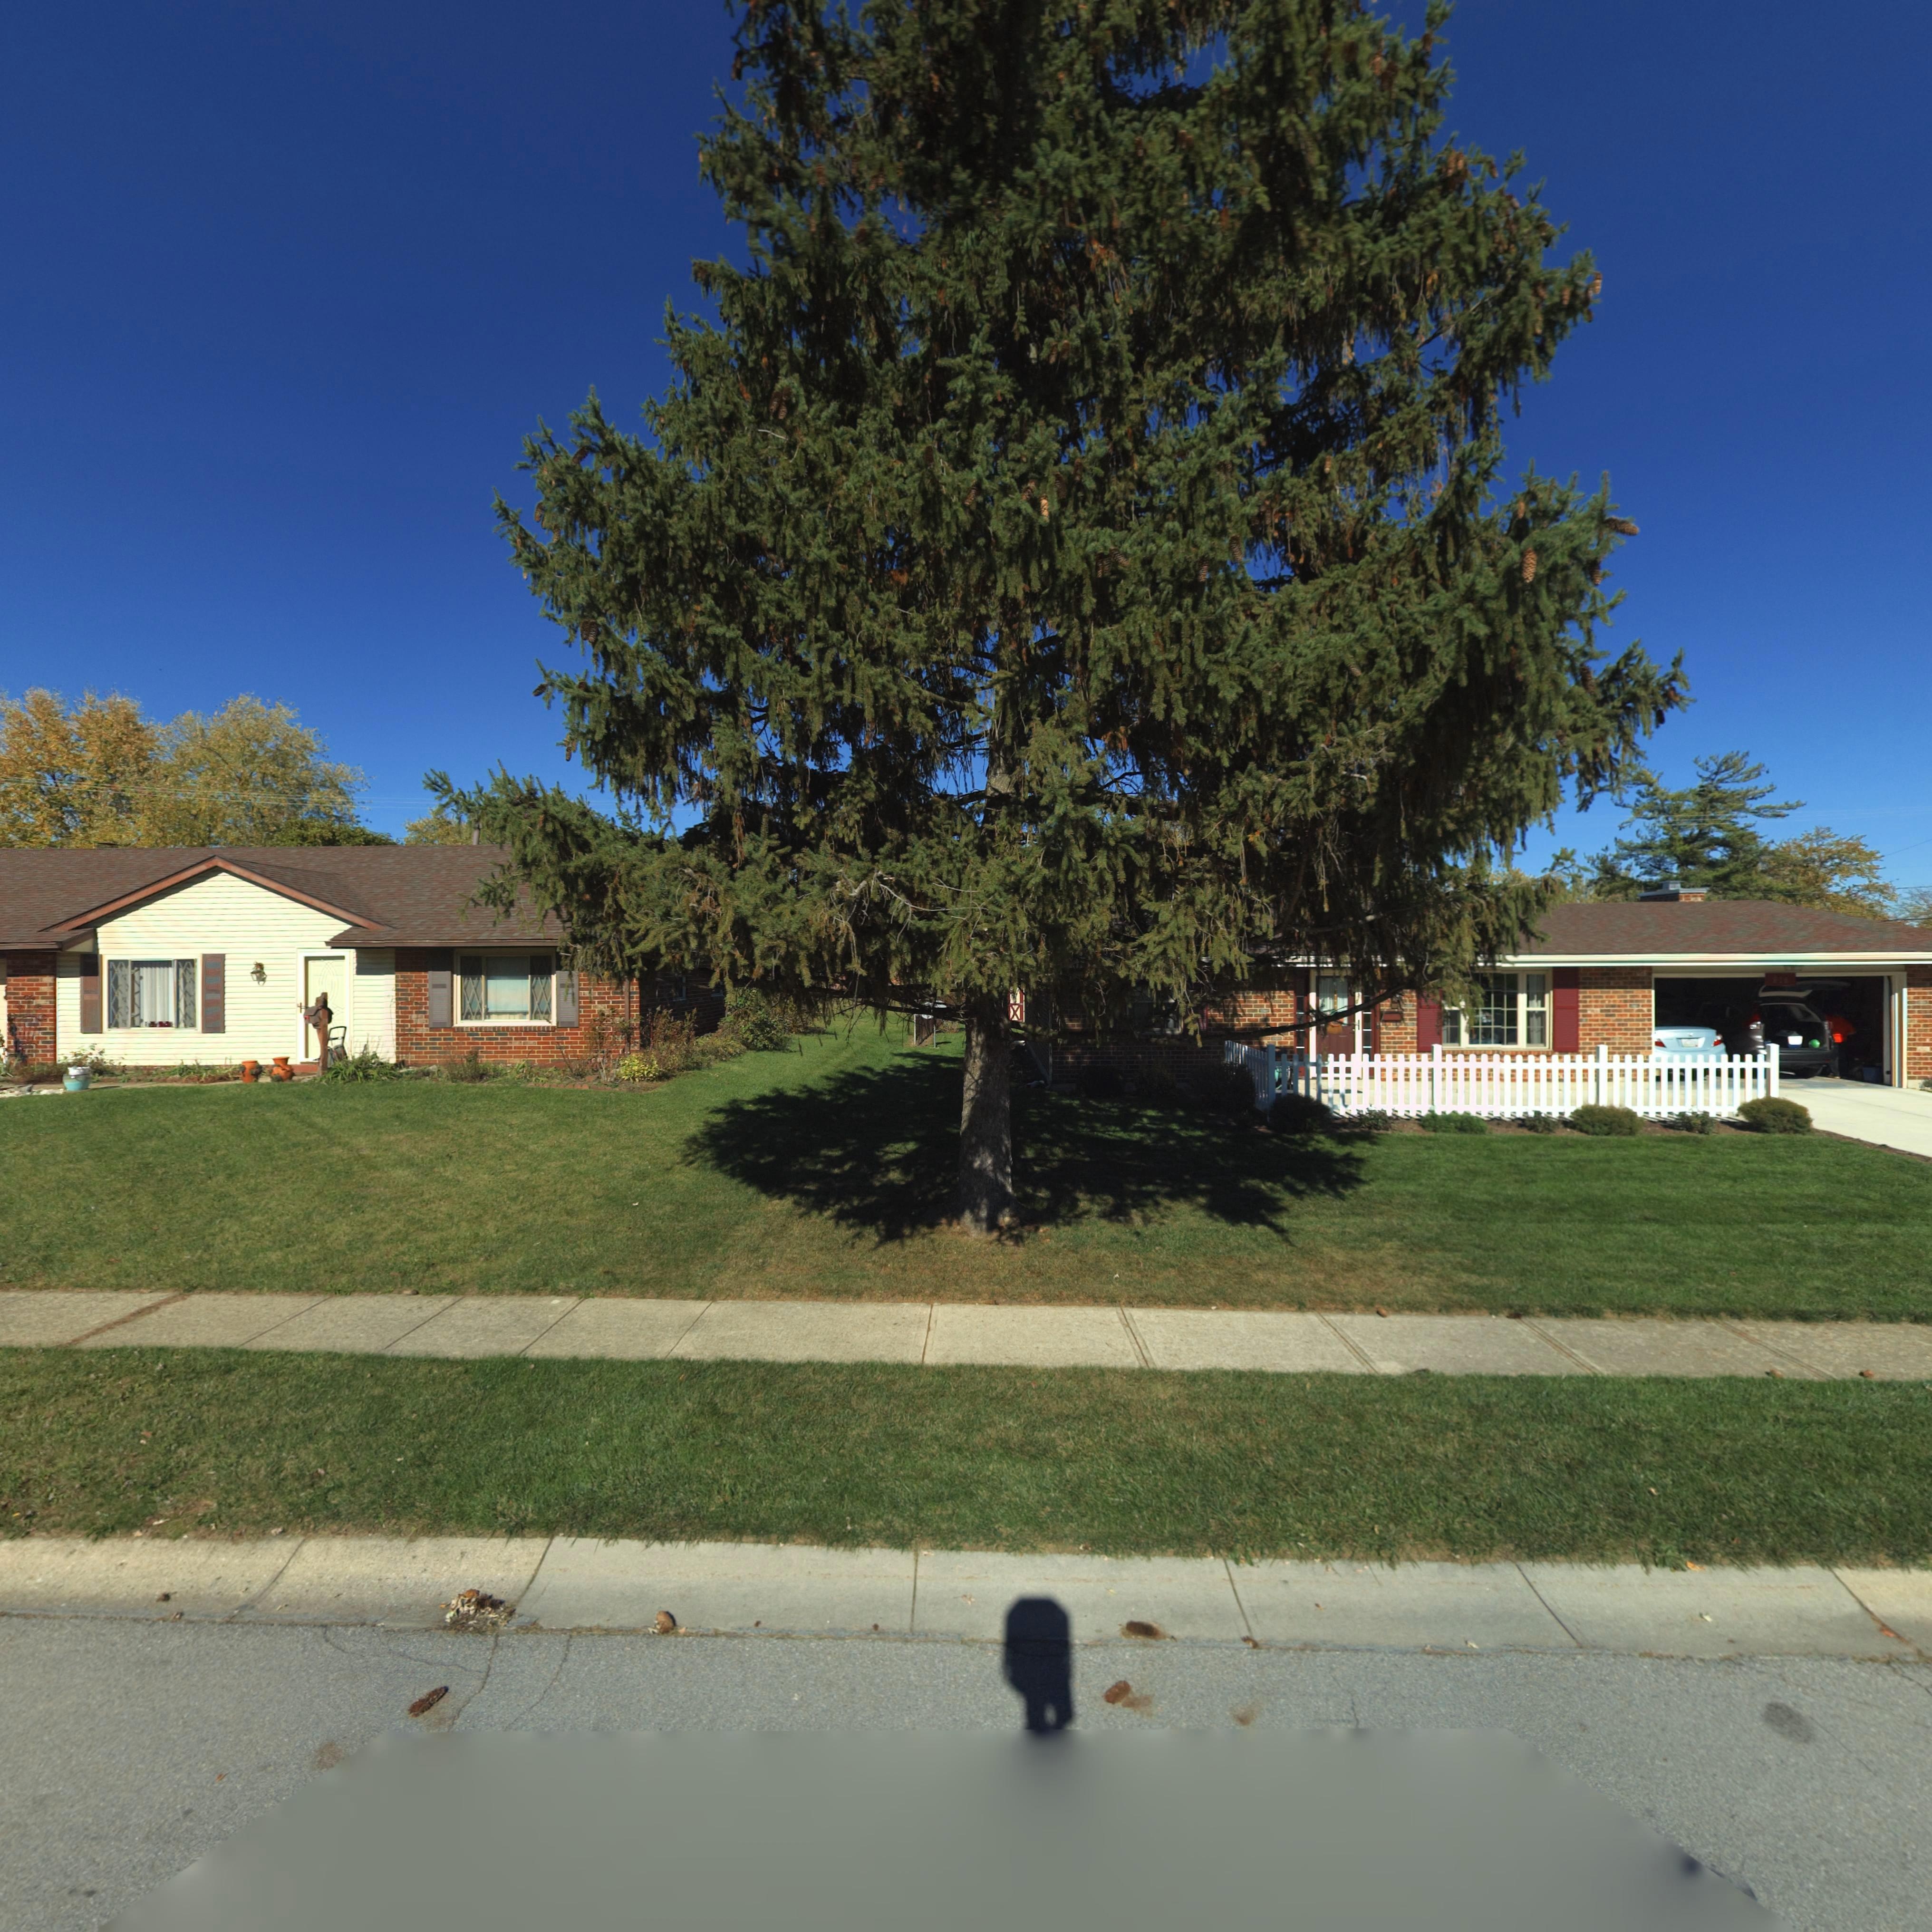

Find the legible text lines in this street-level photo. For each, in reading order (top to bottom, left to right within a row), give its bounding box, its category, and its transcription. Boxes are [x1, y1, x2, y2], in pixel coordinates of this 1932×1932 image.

[1772, 976, 1789, 984] StreetNumber: 81*